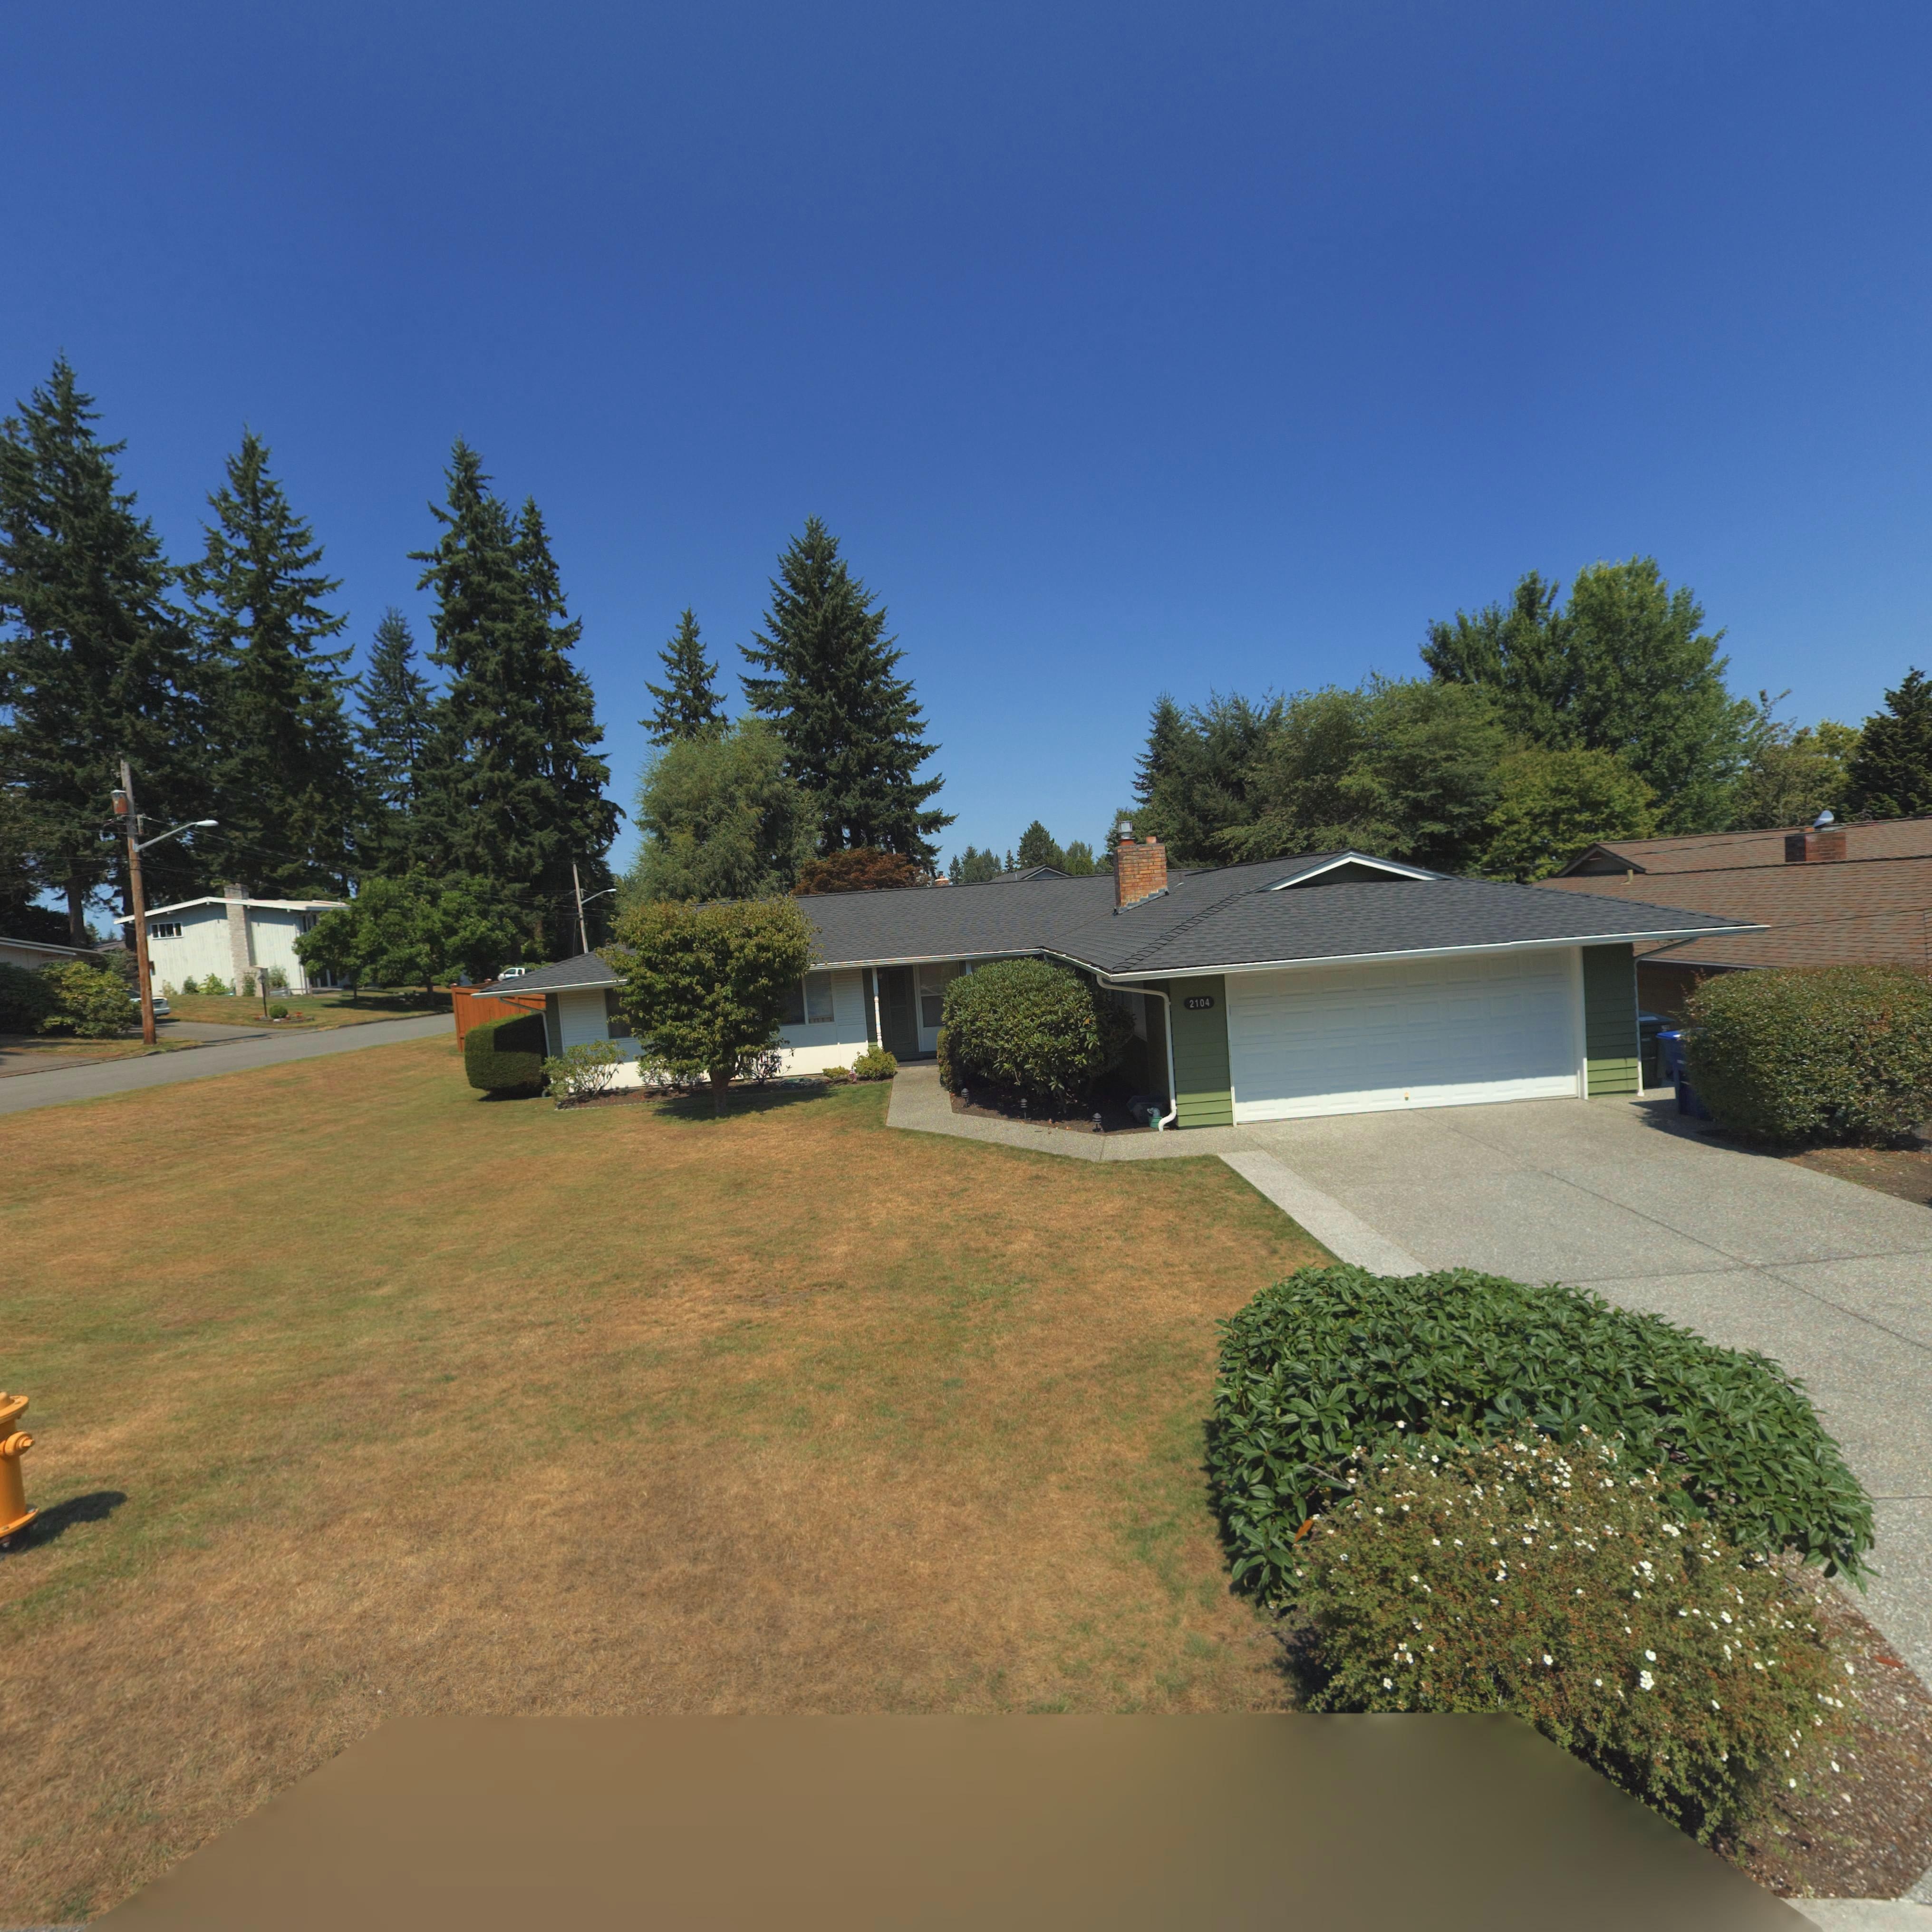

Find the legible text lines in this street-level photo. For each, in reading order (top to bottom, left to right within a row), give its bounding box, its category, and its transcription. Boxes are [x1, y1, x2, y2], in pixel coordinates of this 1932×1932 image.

[1189, 998, 1210, 1008] StreetNumber: 2104